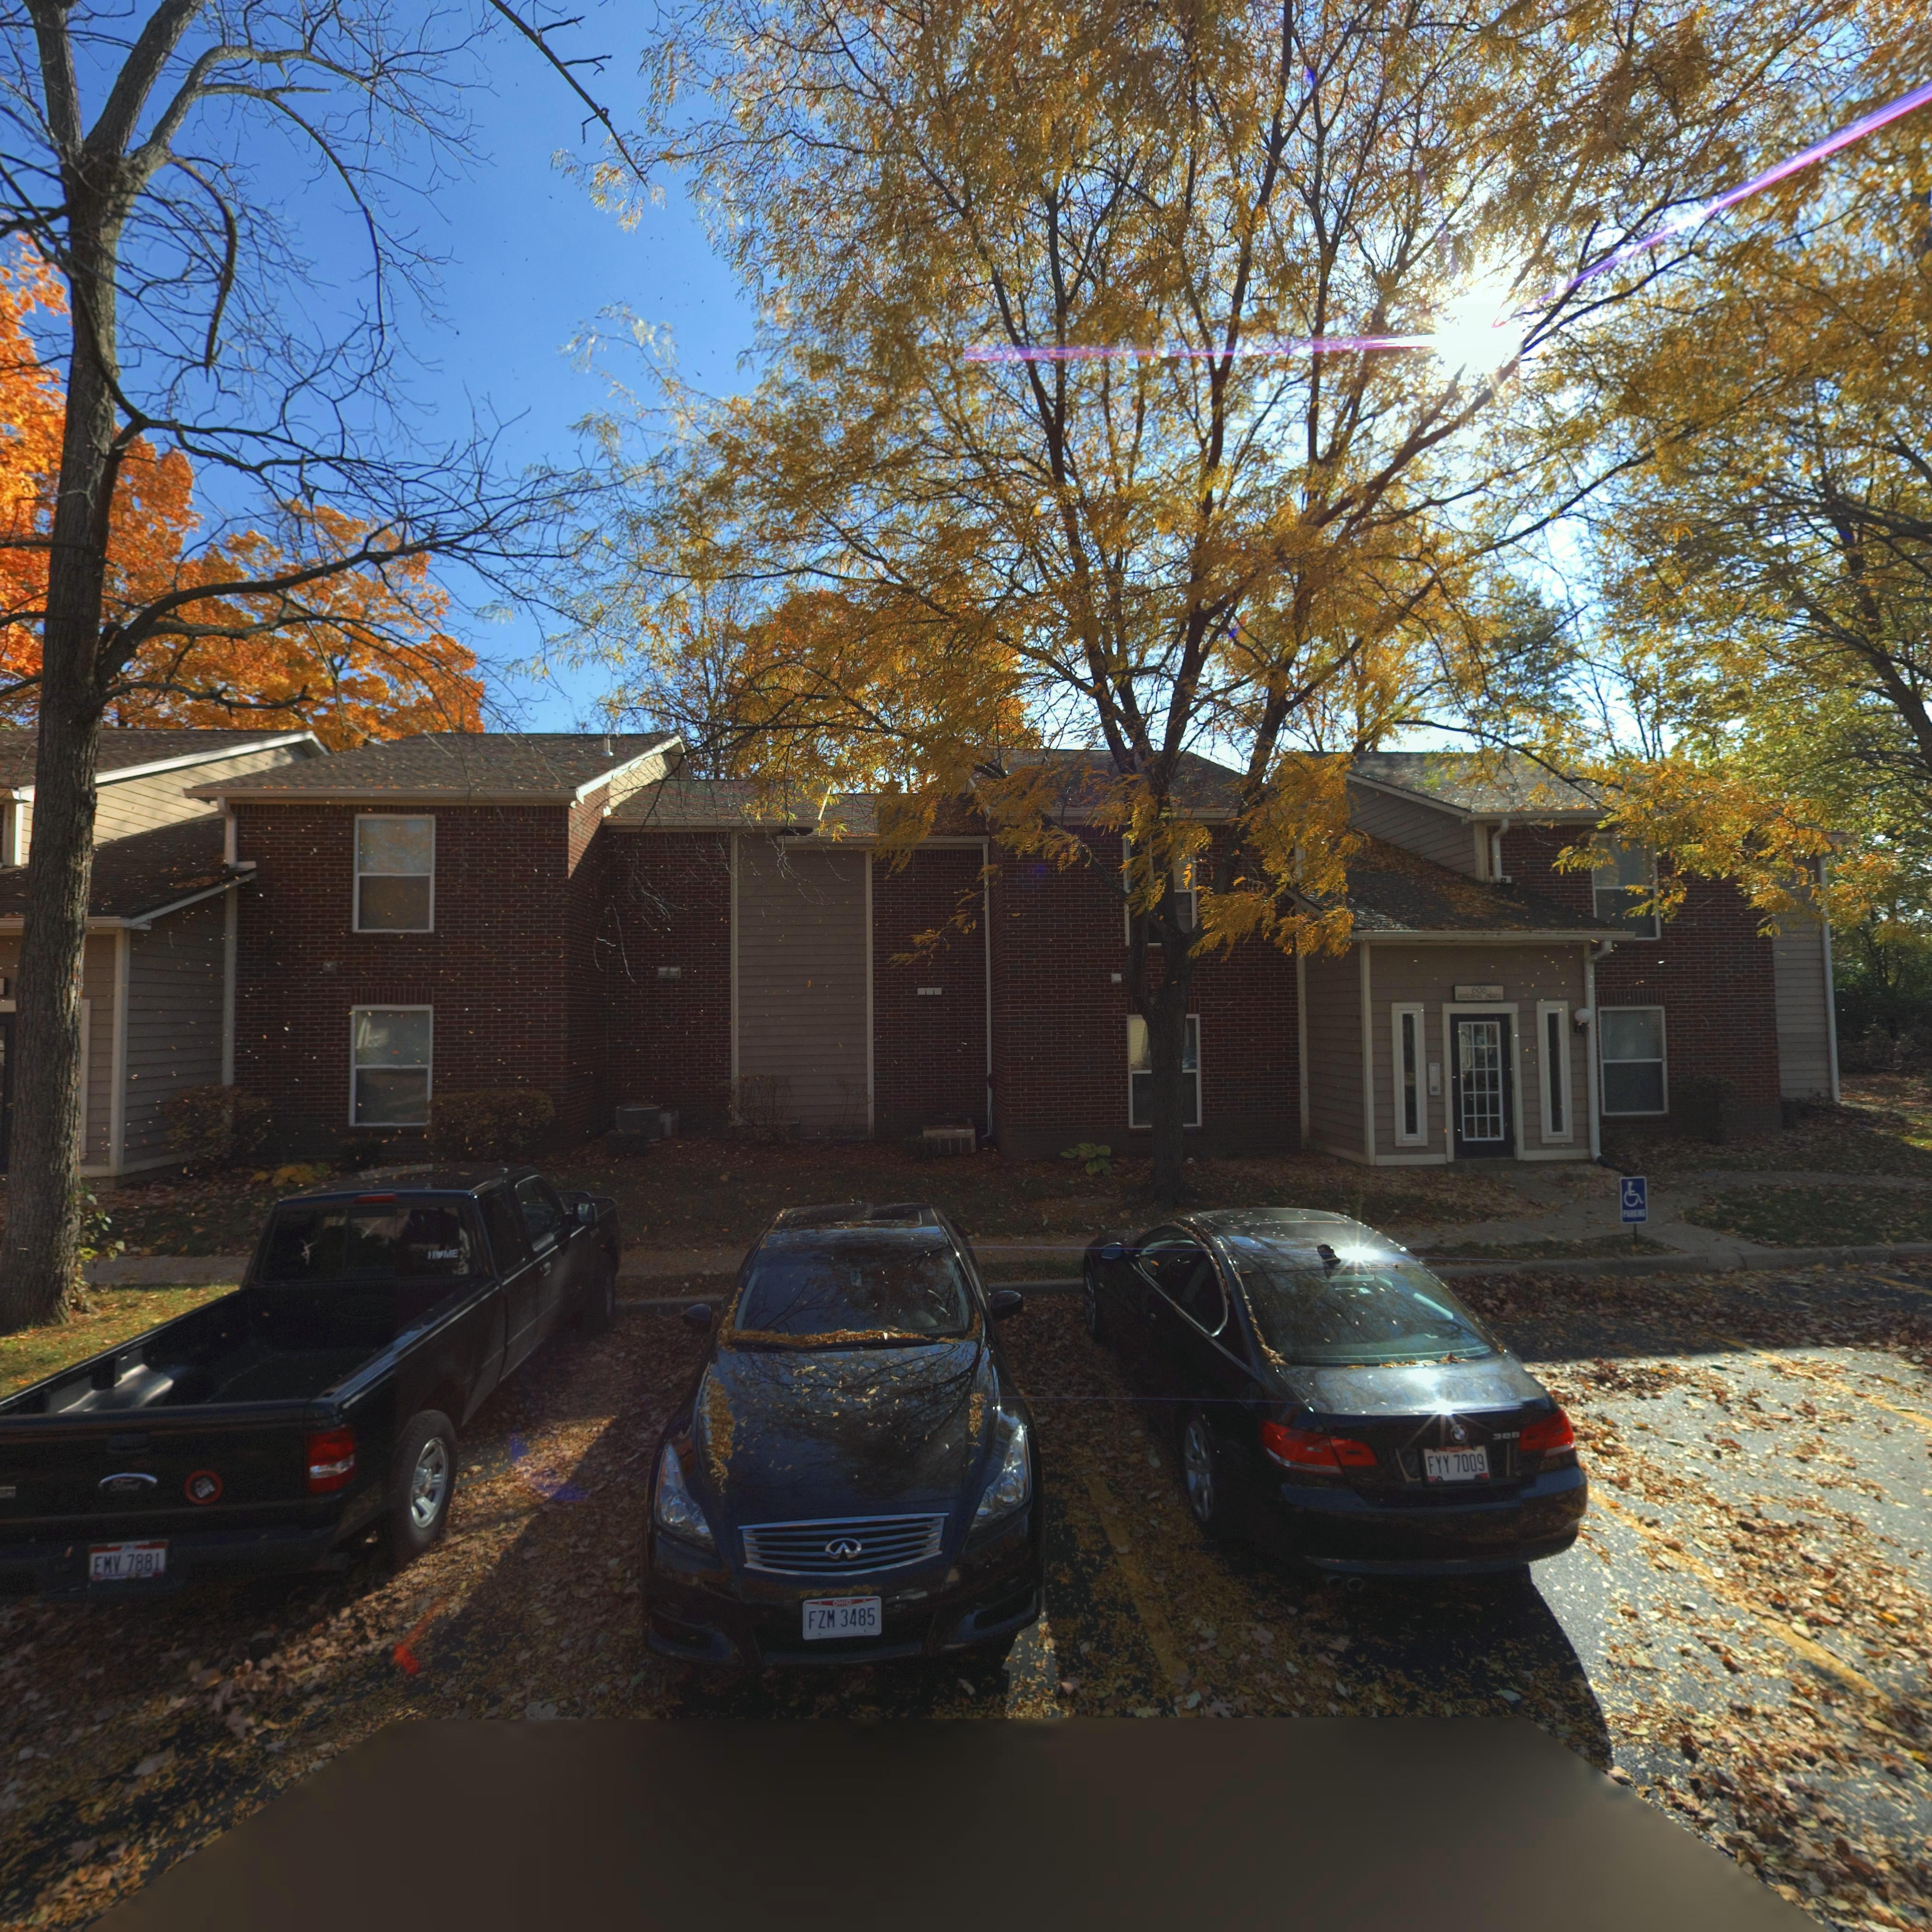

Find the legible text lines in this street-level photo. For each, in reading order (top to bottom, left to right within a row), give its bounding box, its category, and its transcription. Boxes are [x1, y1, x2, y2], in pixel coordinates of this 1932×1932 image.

[1470, 985, 1489, 995] StreetNumber: 606
[1623, 1209, 1627, 1219] None: P
[426, 1248, 459, 1260] None: H*ME
[1492, 1432, 1502, 1441] None: 3
[1445, 1445, 1463, 1453] None: O**O
[1426, 1452, 1487, 1475] None: FYY 7009
[107, 1477, 144, 1493] None: F**d
[92, 1549, 162, 1577] None: EMV 7881
[830, 1598, 853, 1608] None: OHIO
[807, 1605, 877, 1632] None: FZM 3485